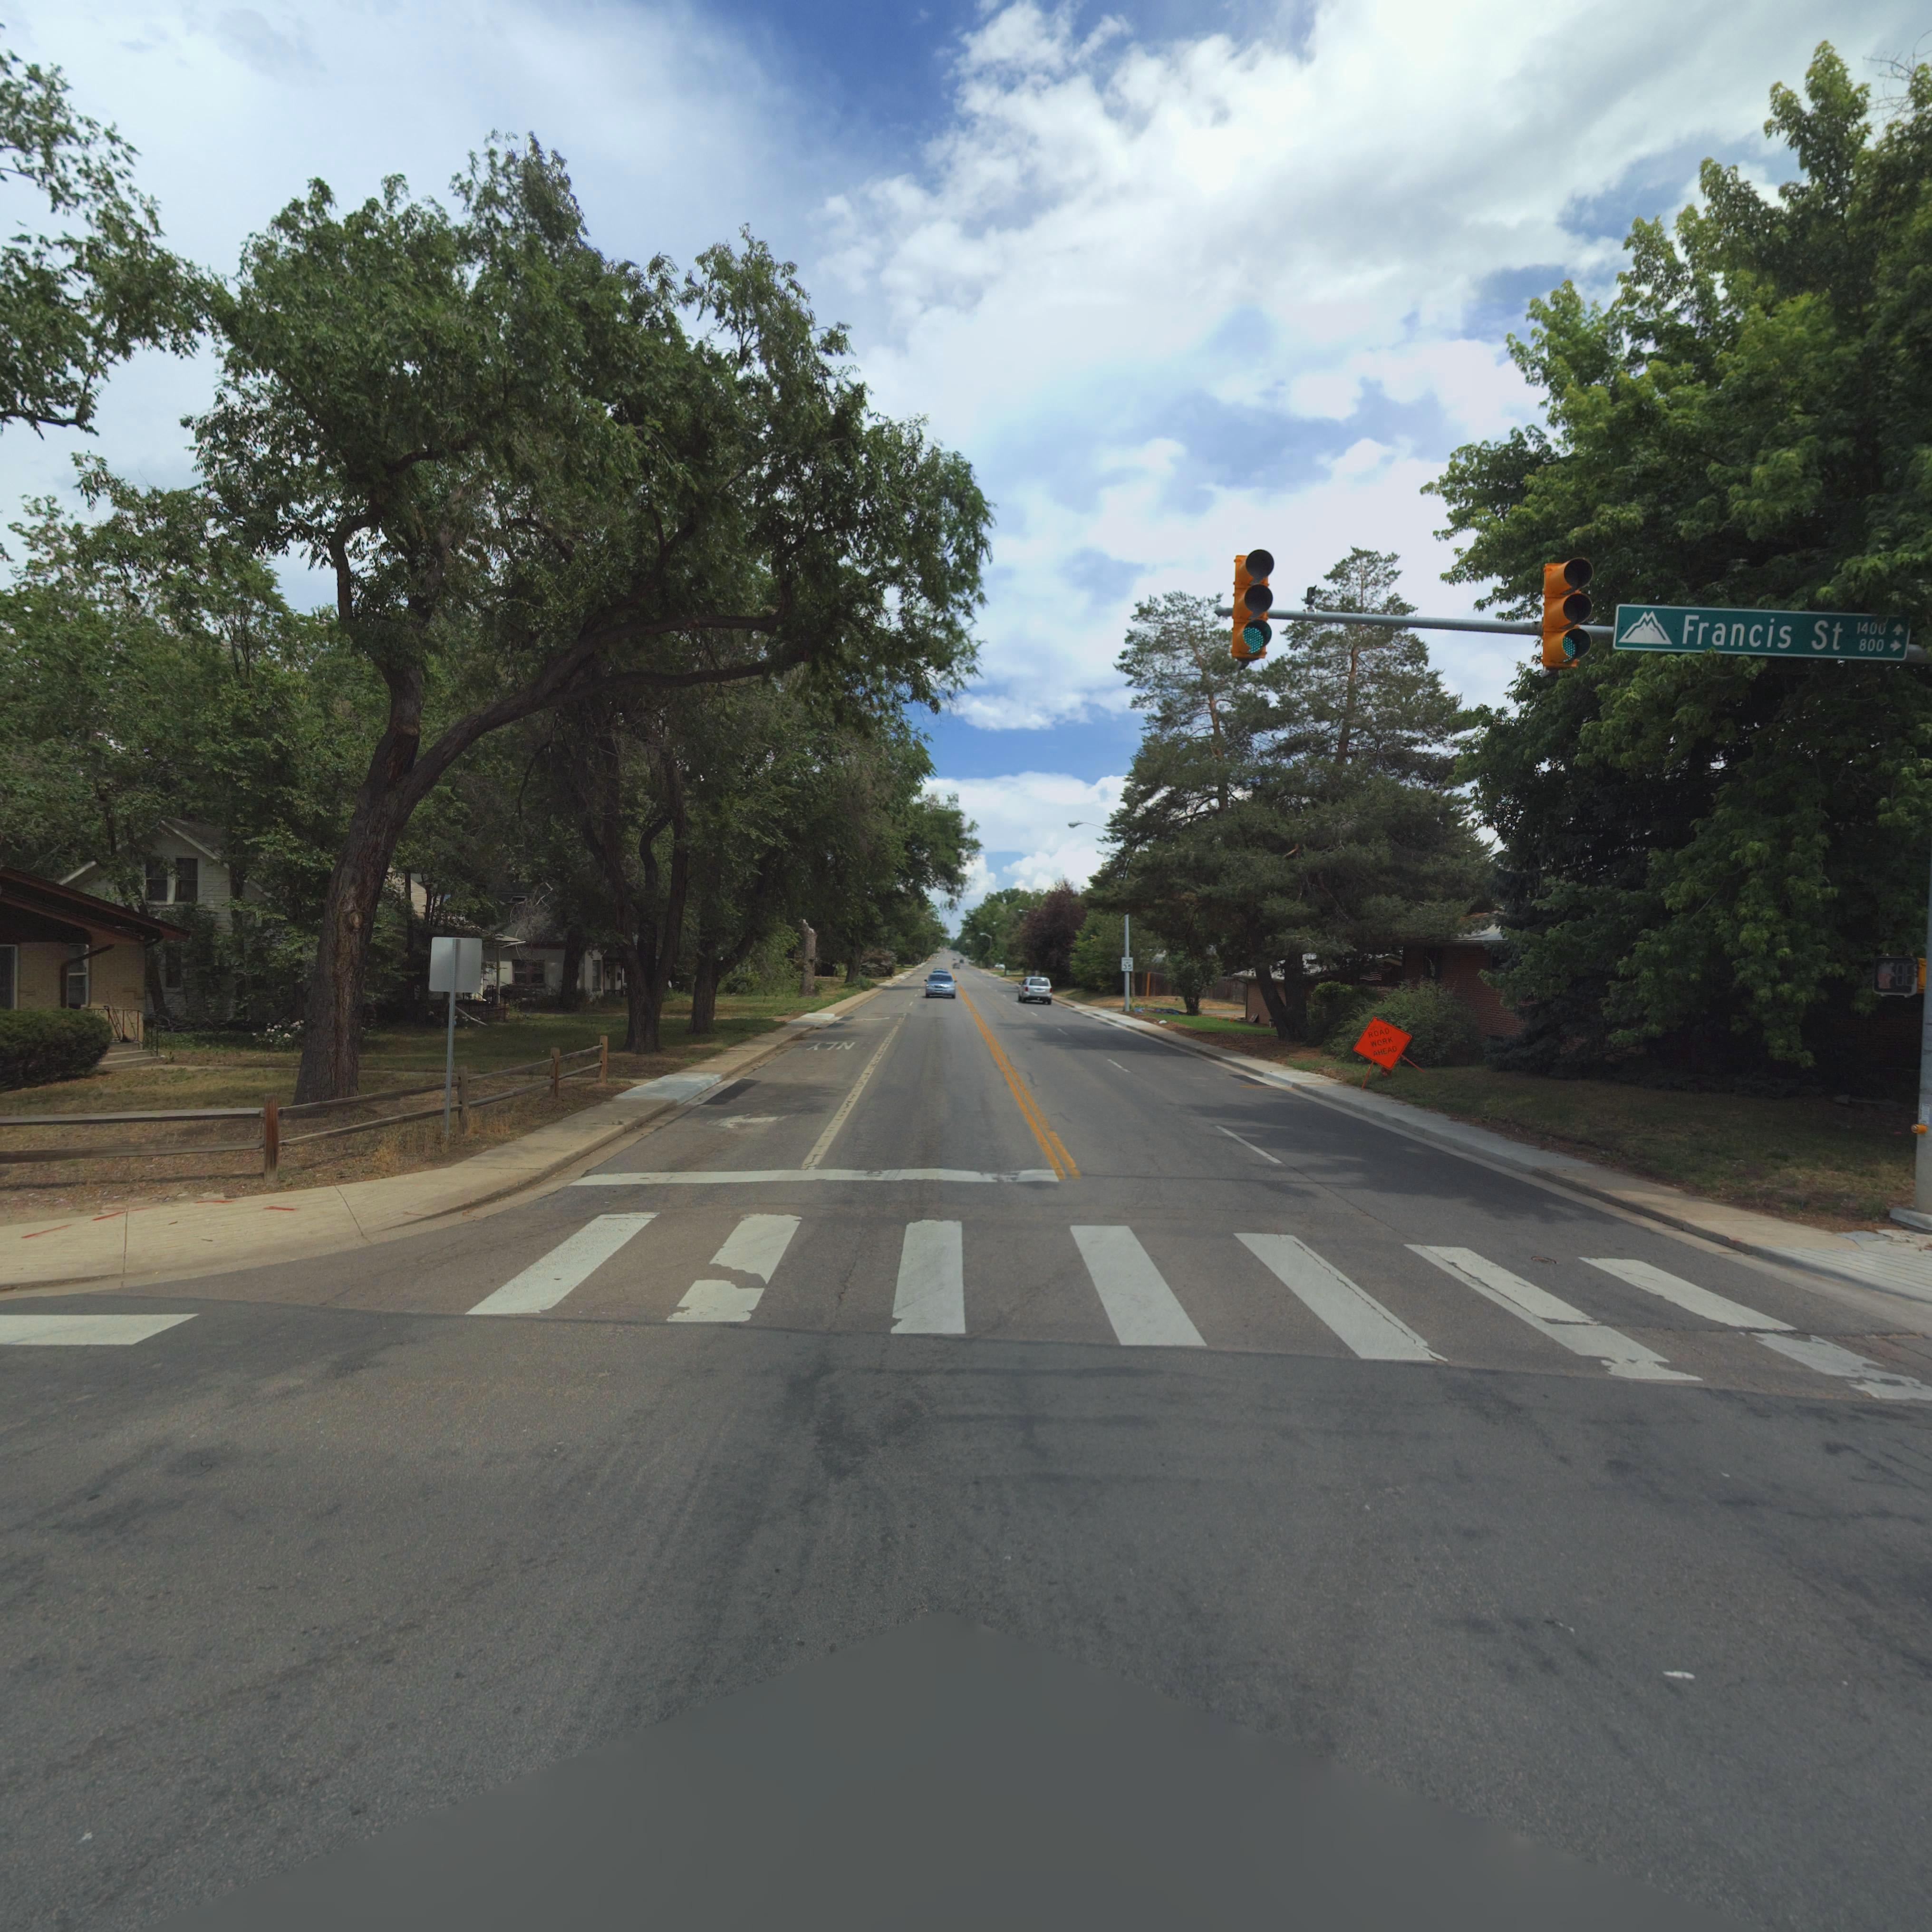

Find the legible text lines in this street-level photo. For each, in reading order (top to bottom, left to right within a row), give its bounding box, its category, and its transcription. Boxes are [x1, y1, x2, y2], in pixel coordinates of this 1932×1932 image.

[1681, 614, 1843, 651] StreetName: Francis St
[1856, 621, 1886, 635] StreetNumberRange: 1400
[1858, 638, 1903, 652] StreetNumberRange: 800->